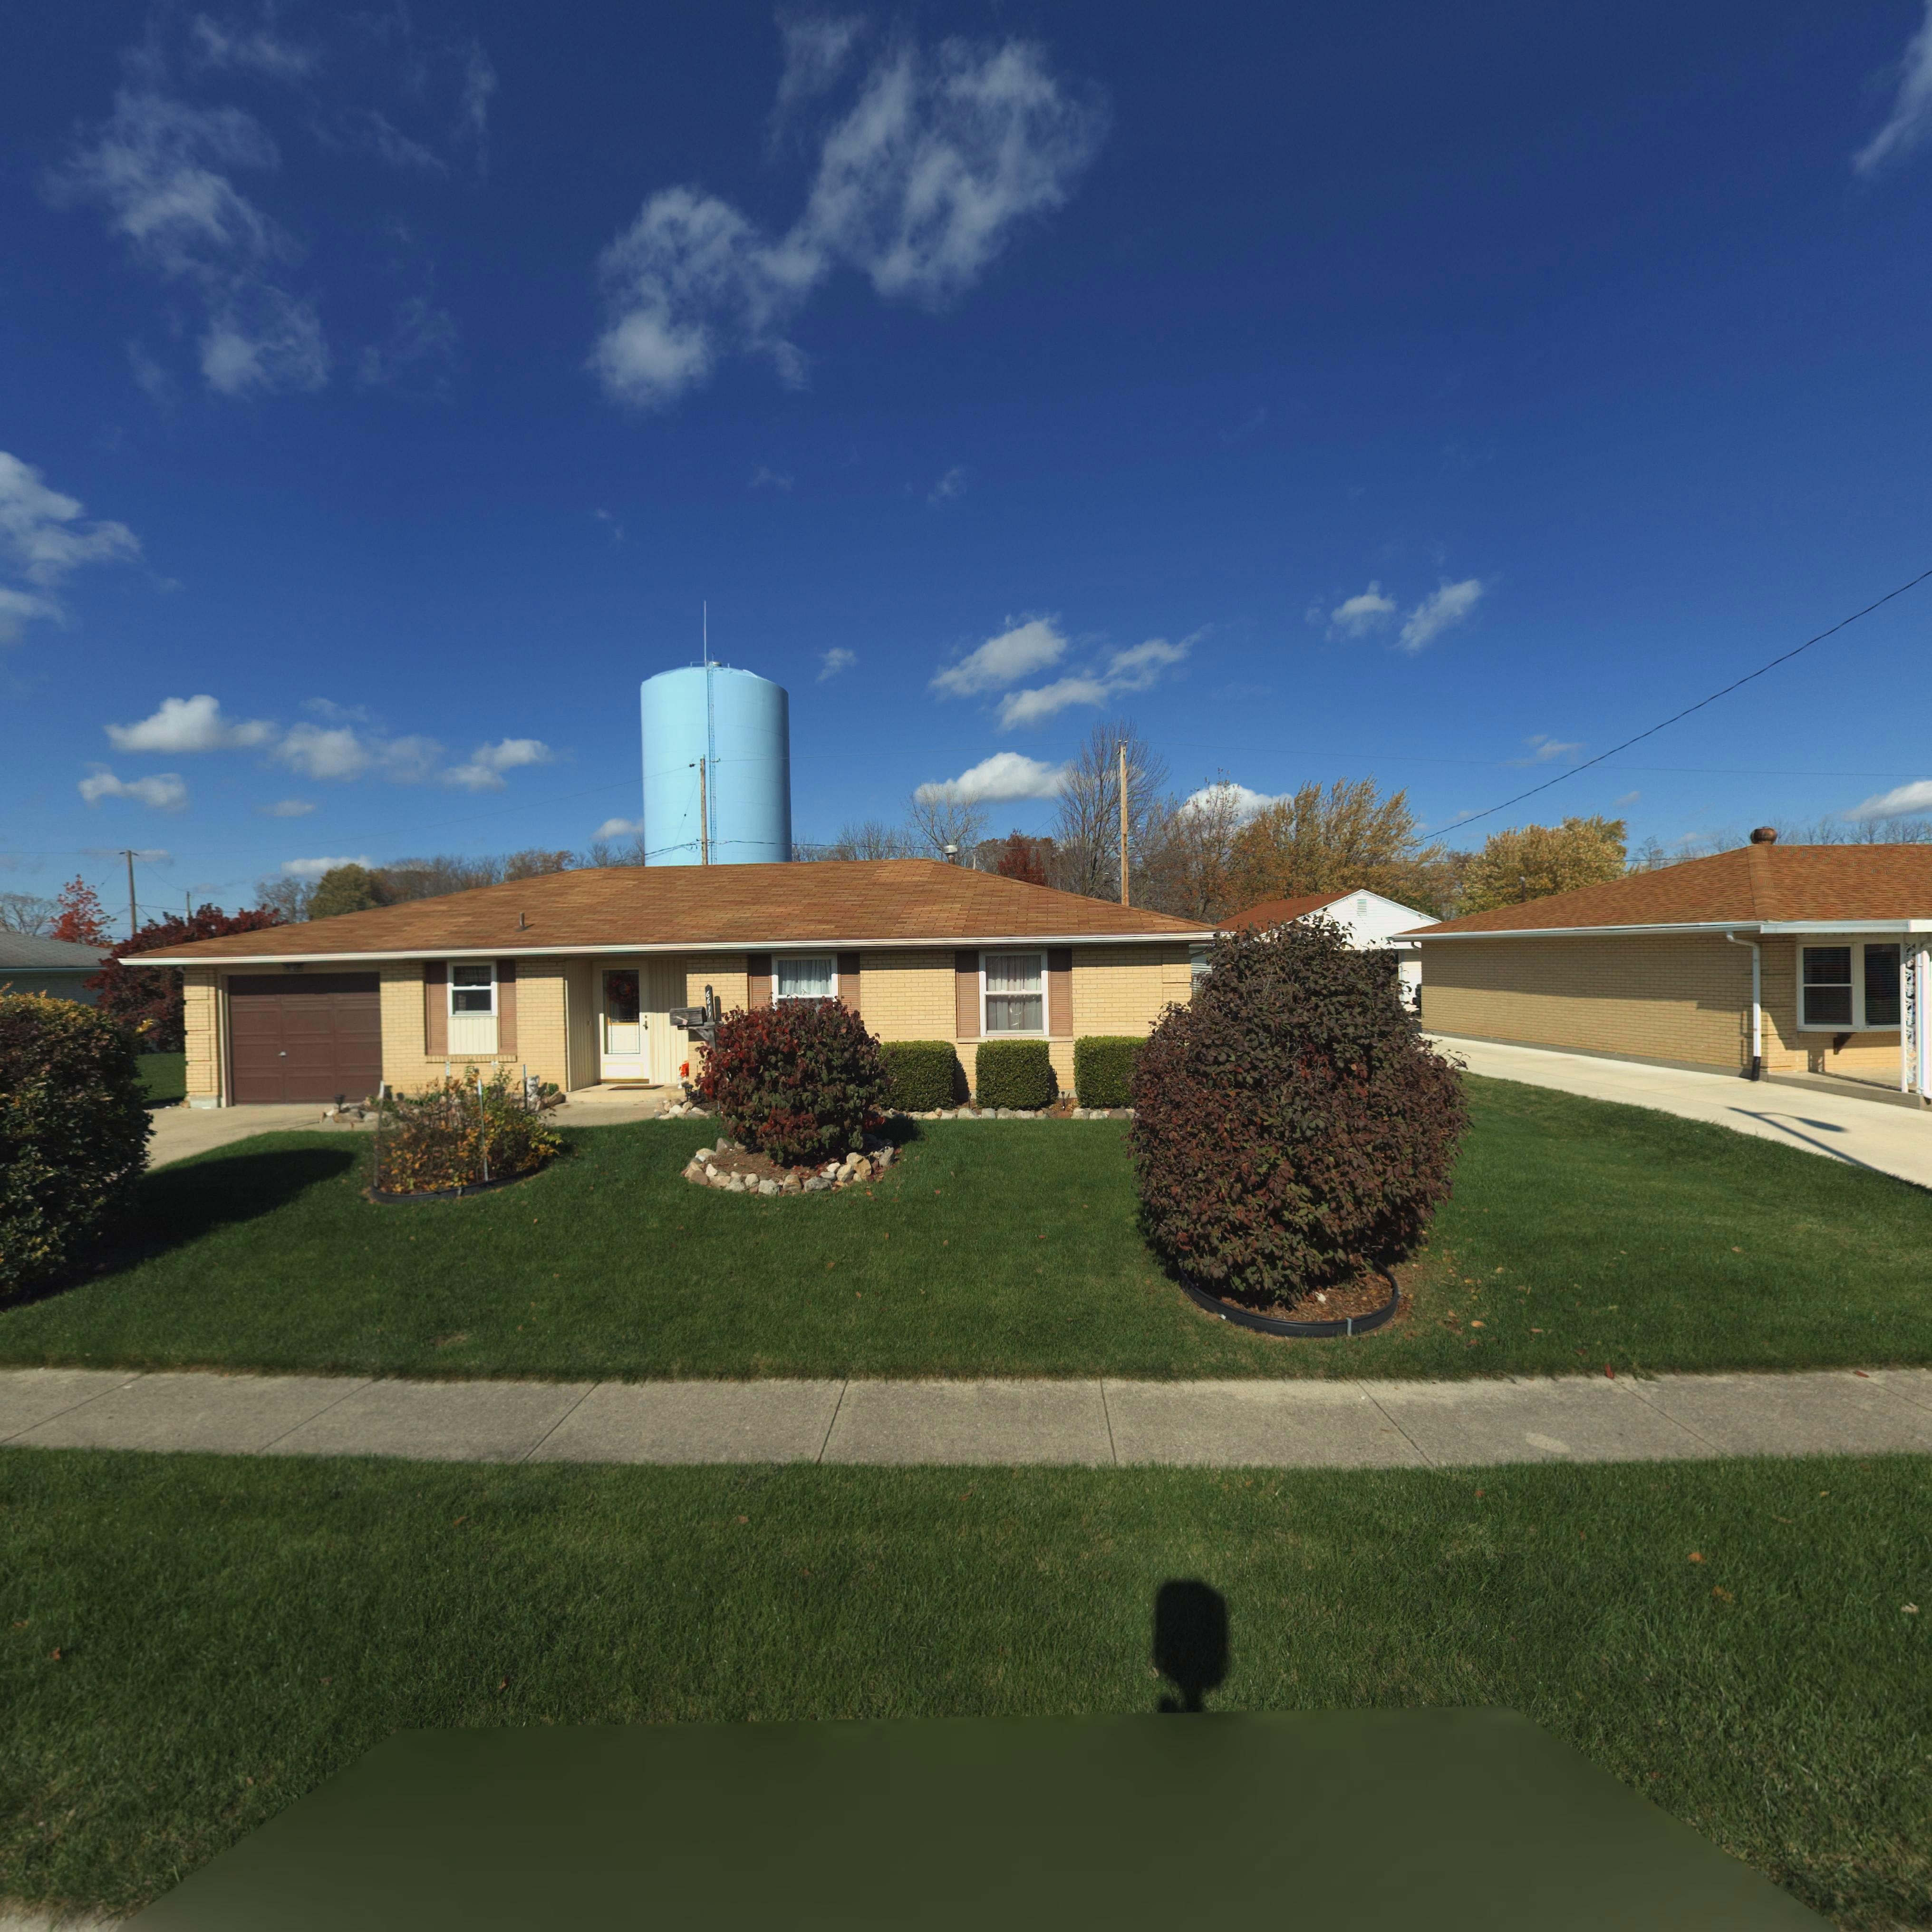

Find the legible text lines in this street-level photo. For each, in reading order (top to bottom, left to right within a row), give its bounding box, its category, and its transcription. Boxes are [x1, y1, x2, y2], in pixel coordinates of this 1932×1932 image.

[705, 990, 712, 1019] StreetNumber: 6611